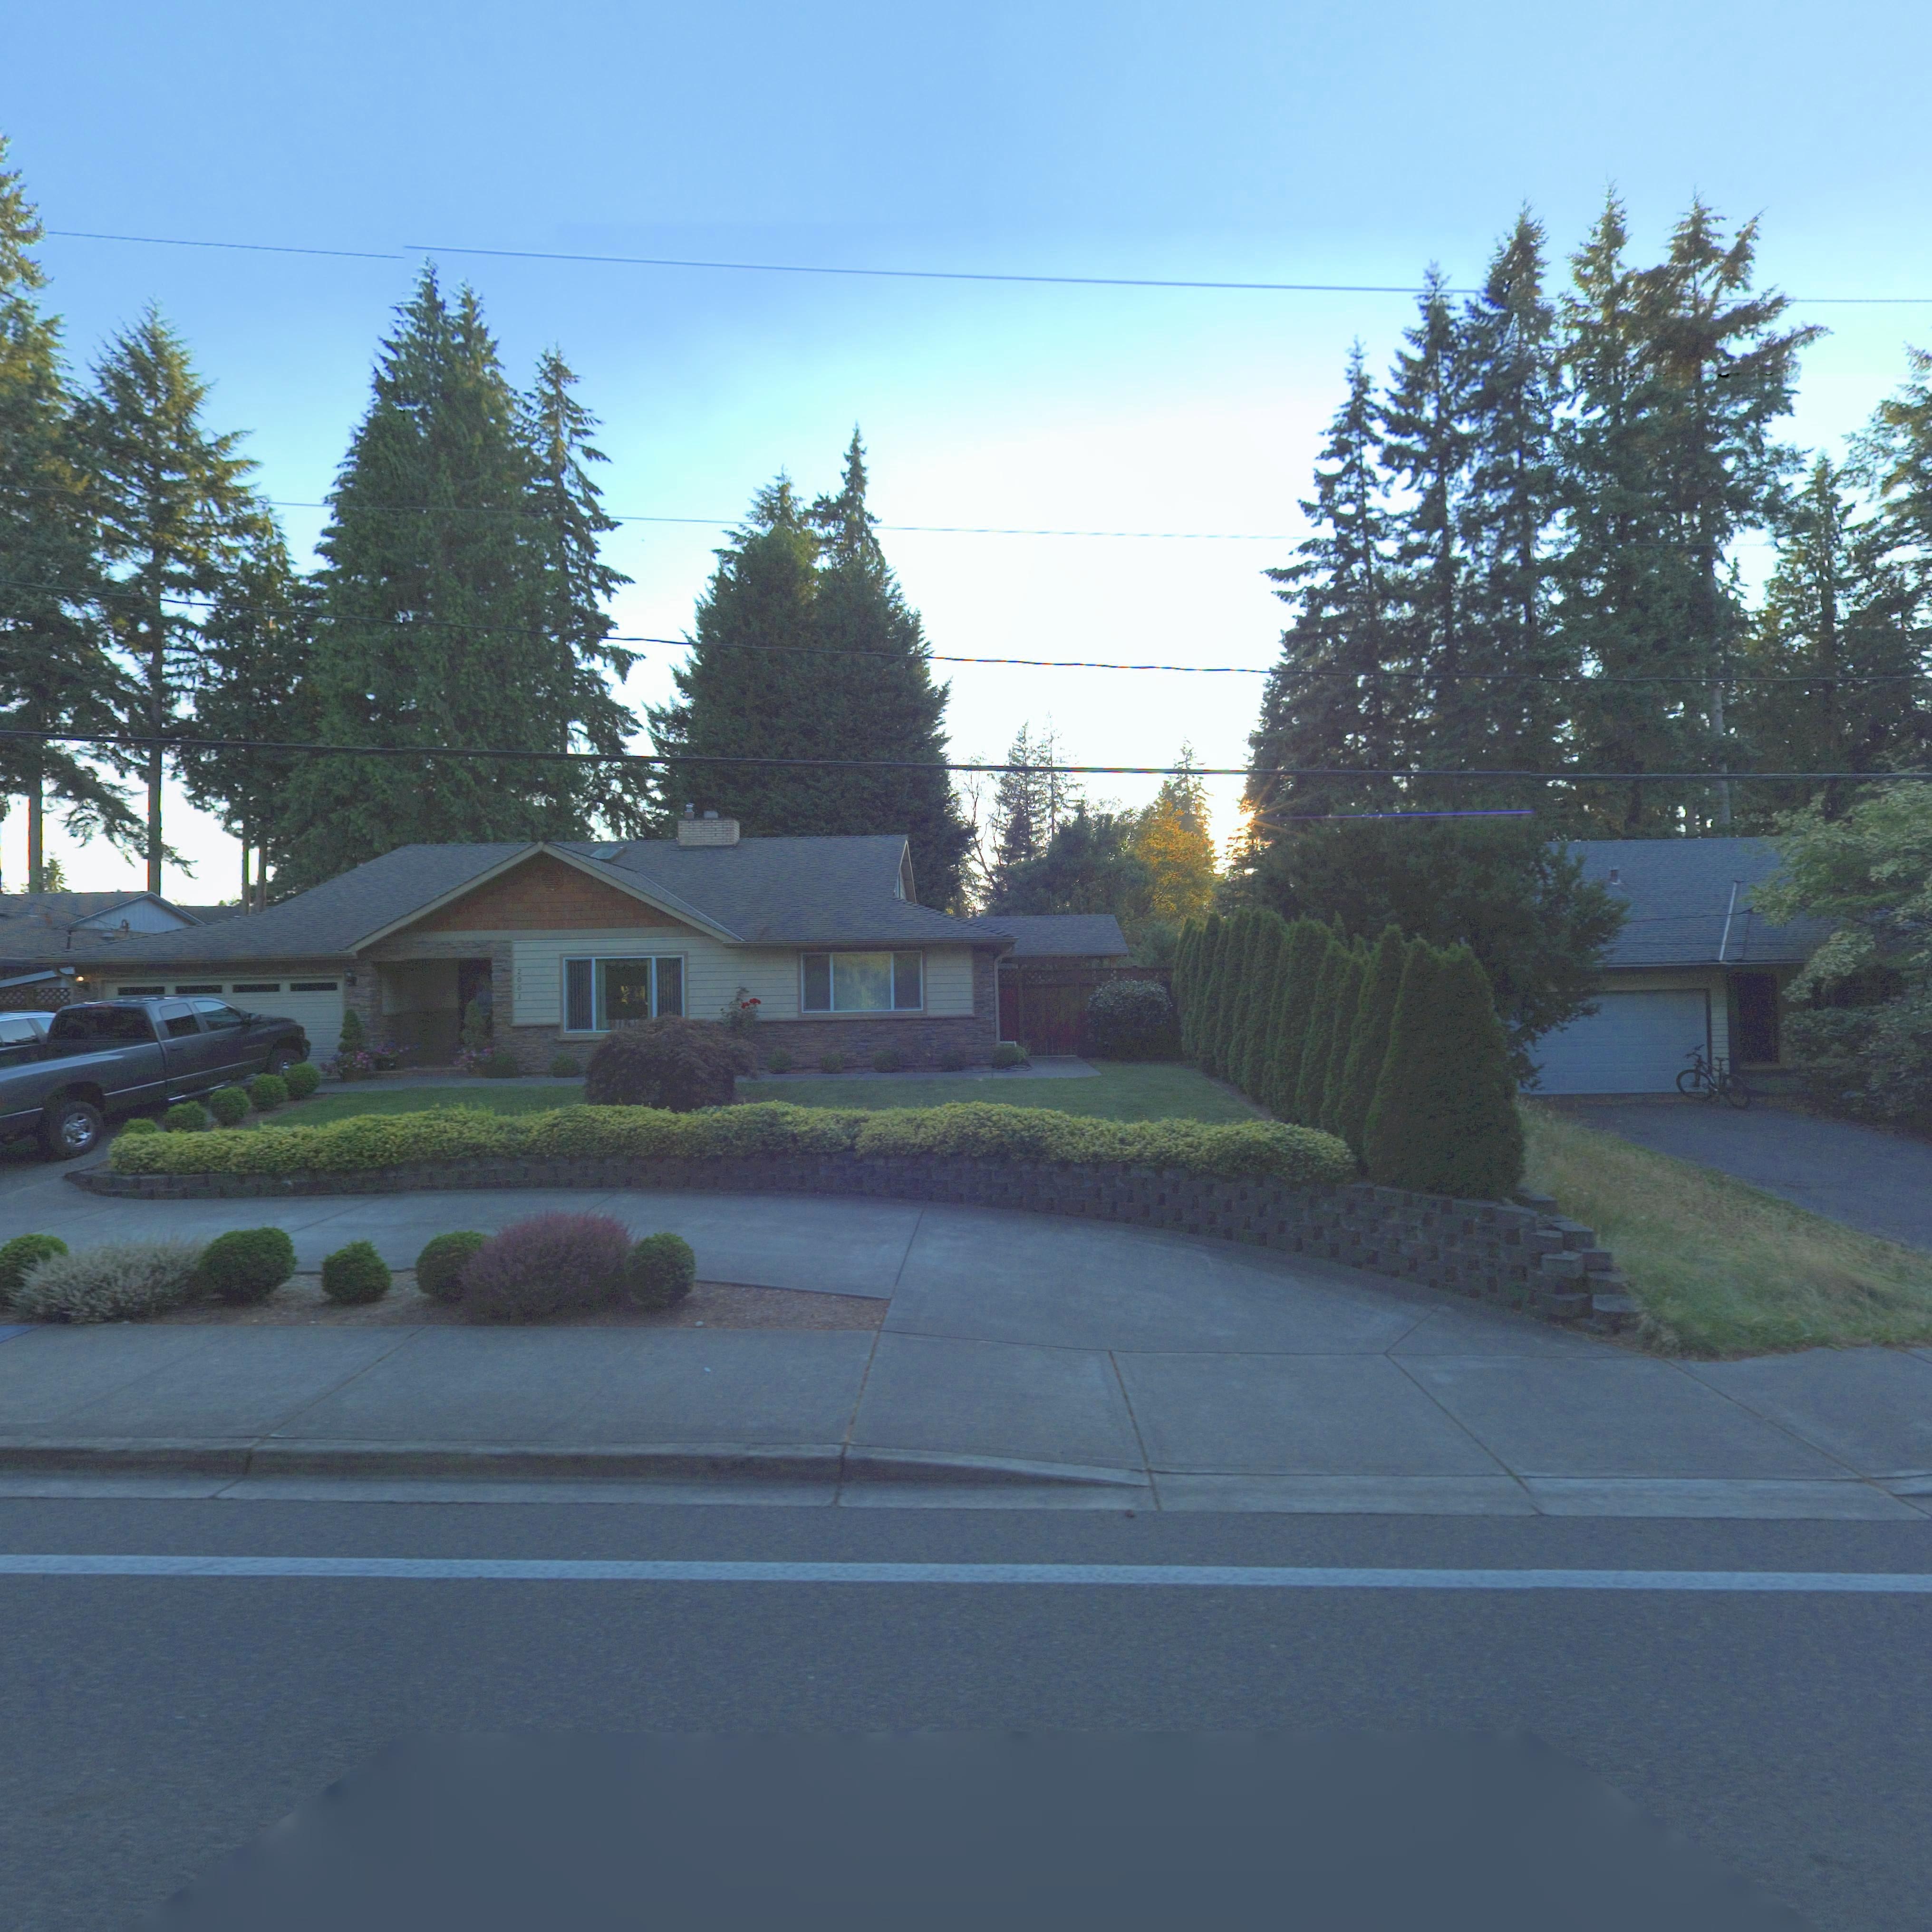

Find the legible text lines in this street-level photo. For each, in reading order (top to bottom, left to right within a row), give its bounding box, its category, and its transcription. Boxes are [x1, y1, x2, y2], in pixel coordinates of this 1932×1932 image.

[517, 969, 522, 999] StreetNumber: 2001